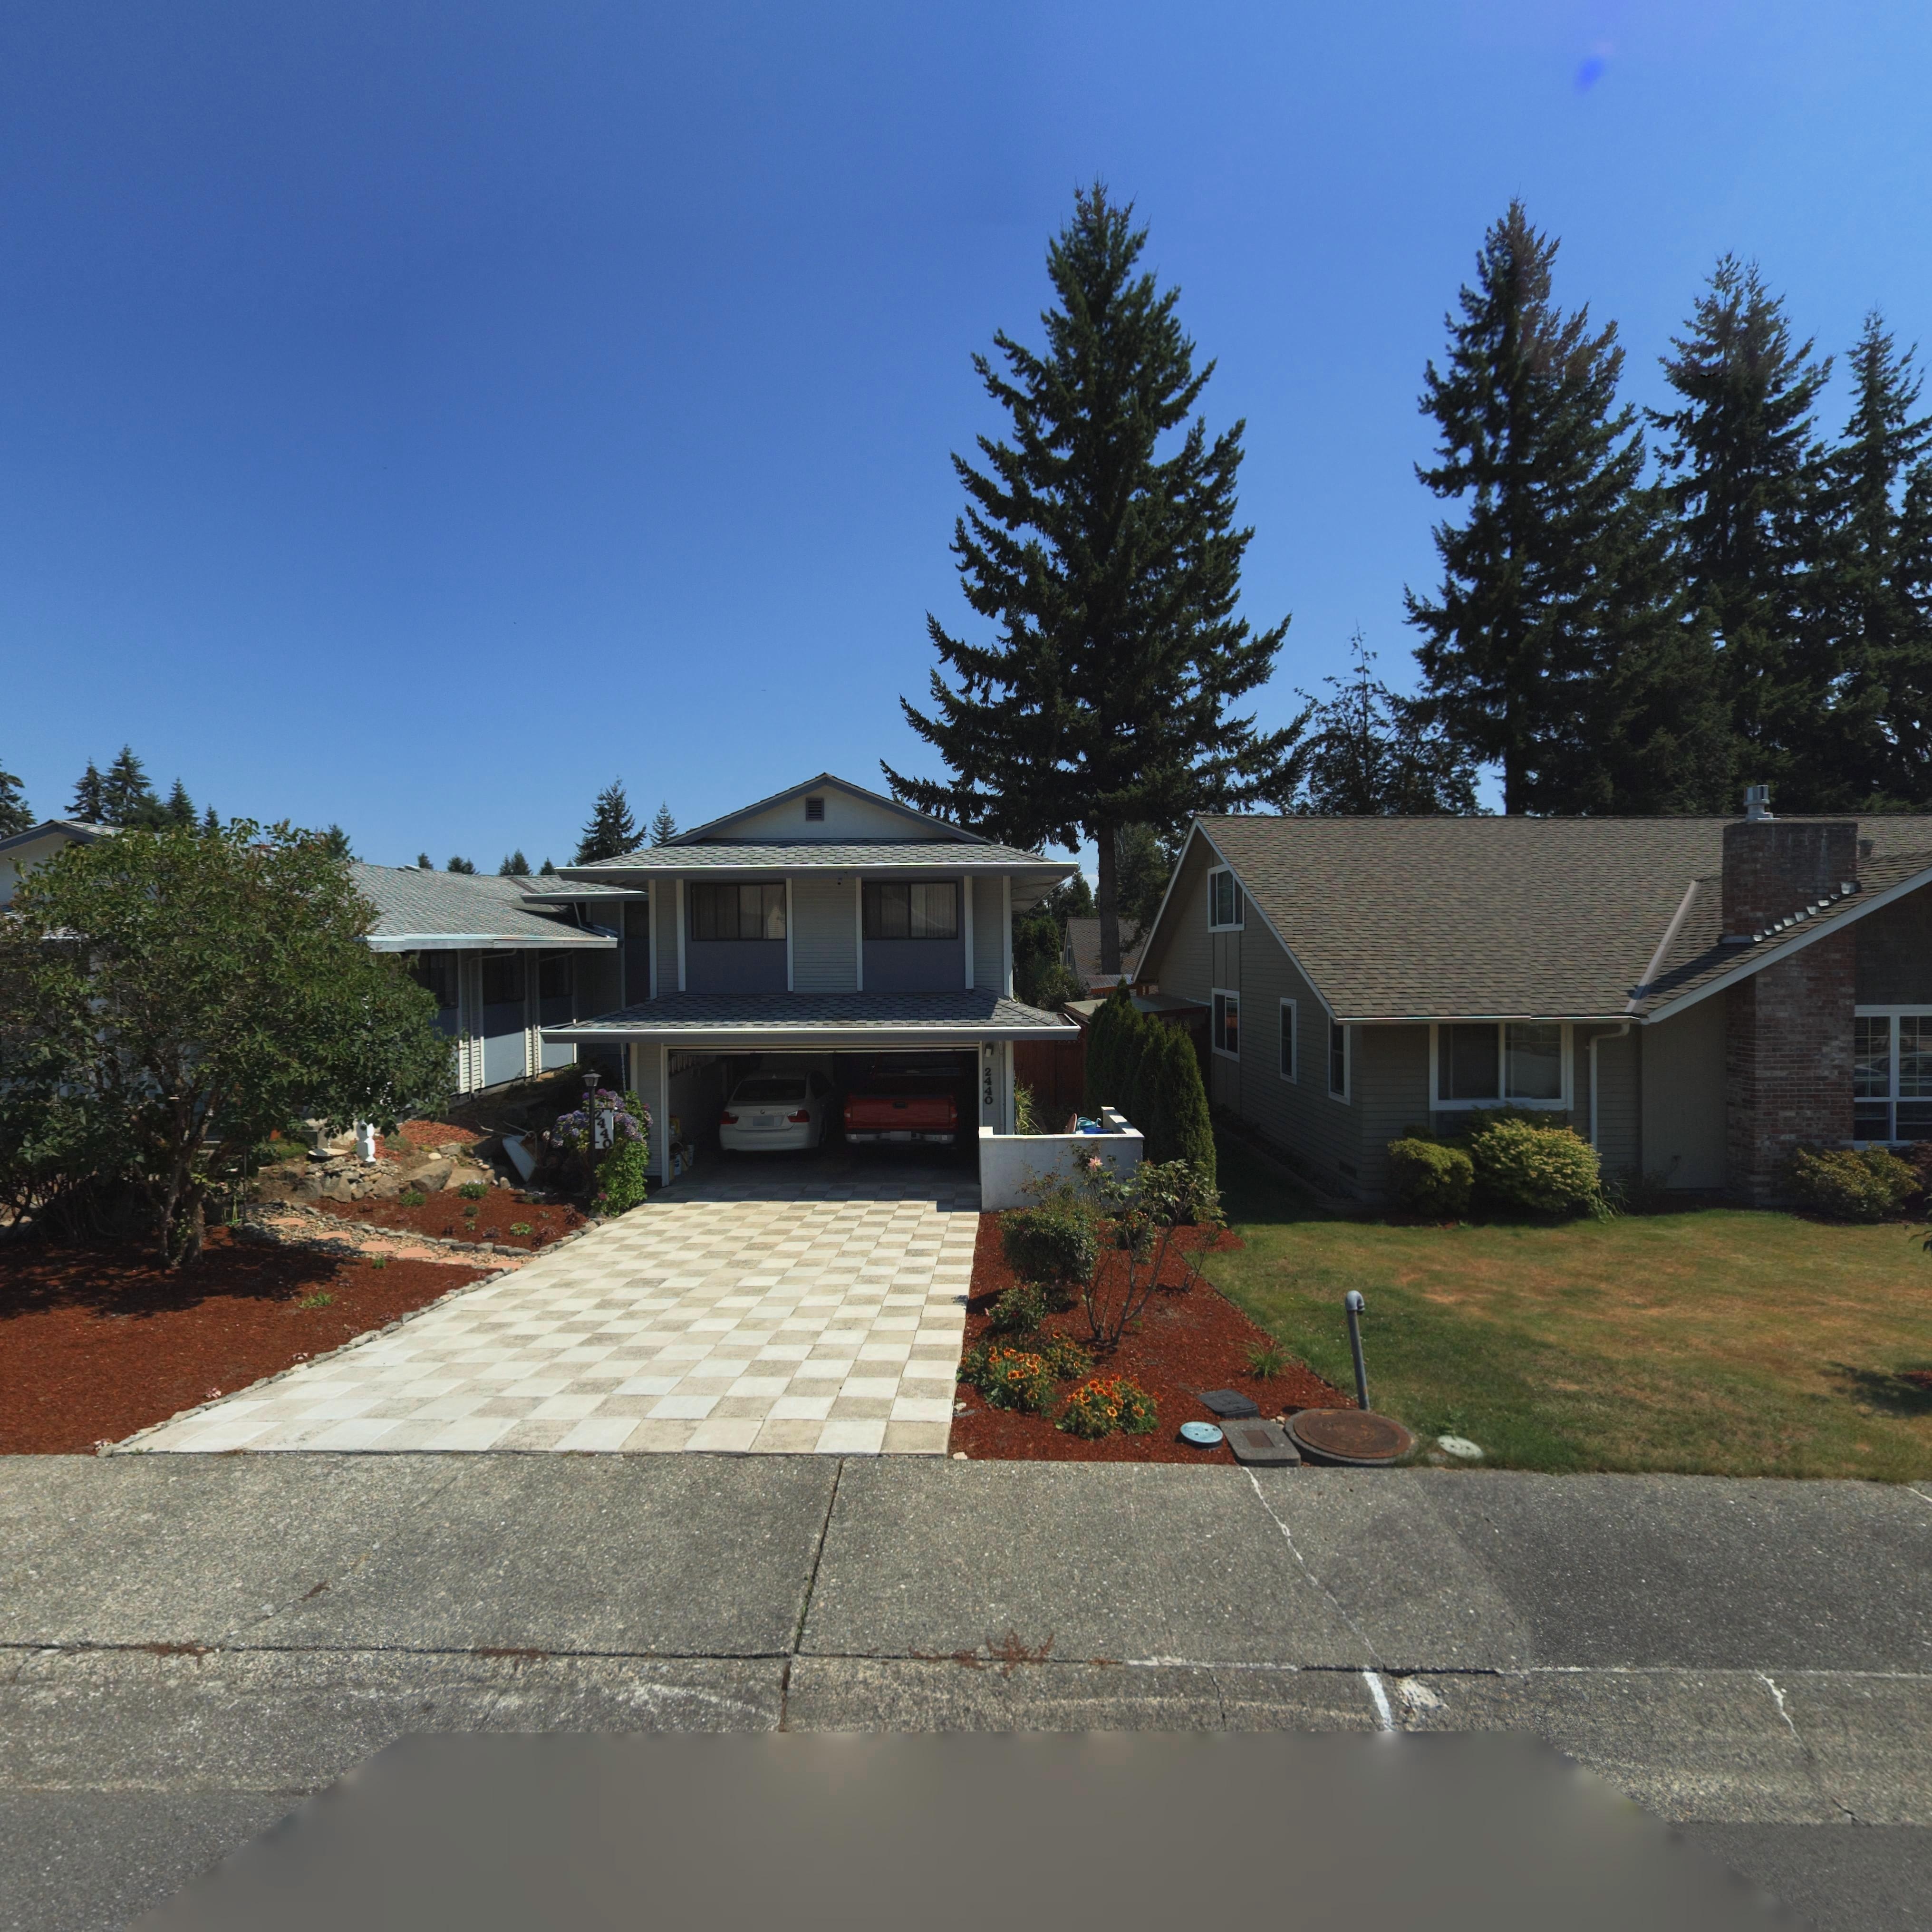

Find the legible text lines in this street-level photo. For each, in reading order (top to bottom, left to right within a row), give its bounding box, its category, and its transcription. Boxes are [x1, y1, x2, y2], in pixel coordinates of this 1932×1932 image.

[983, 1066, 994, 1106] StreetNumber: 2440